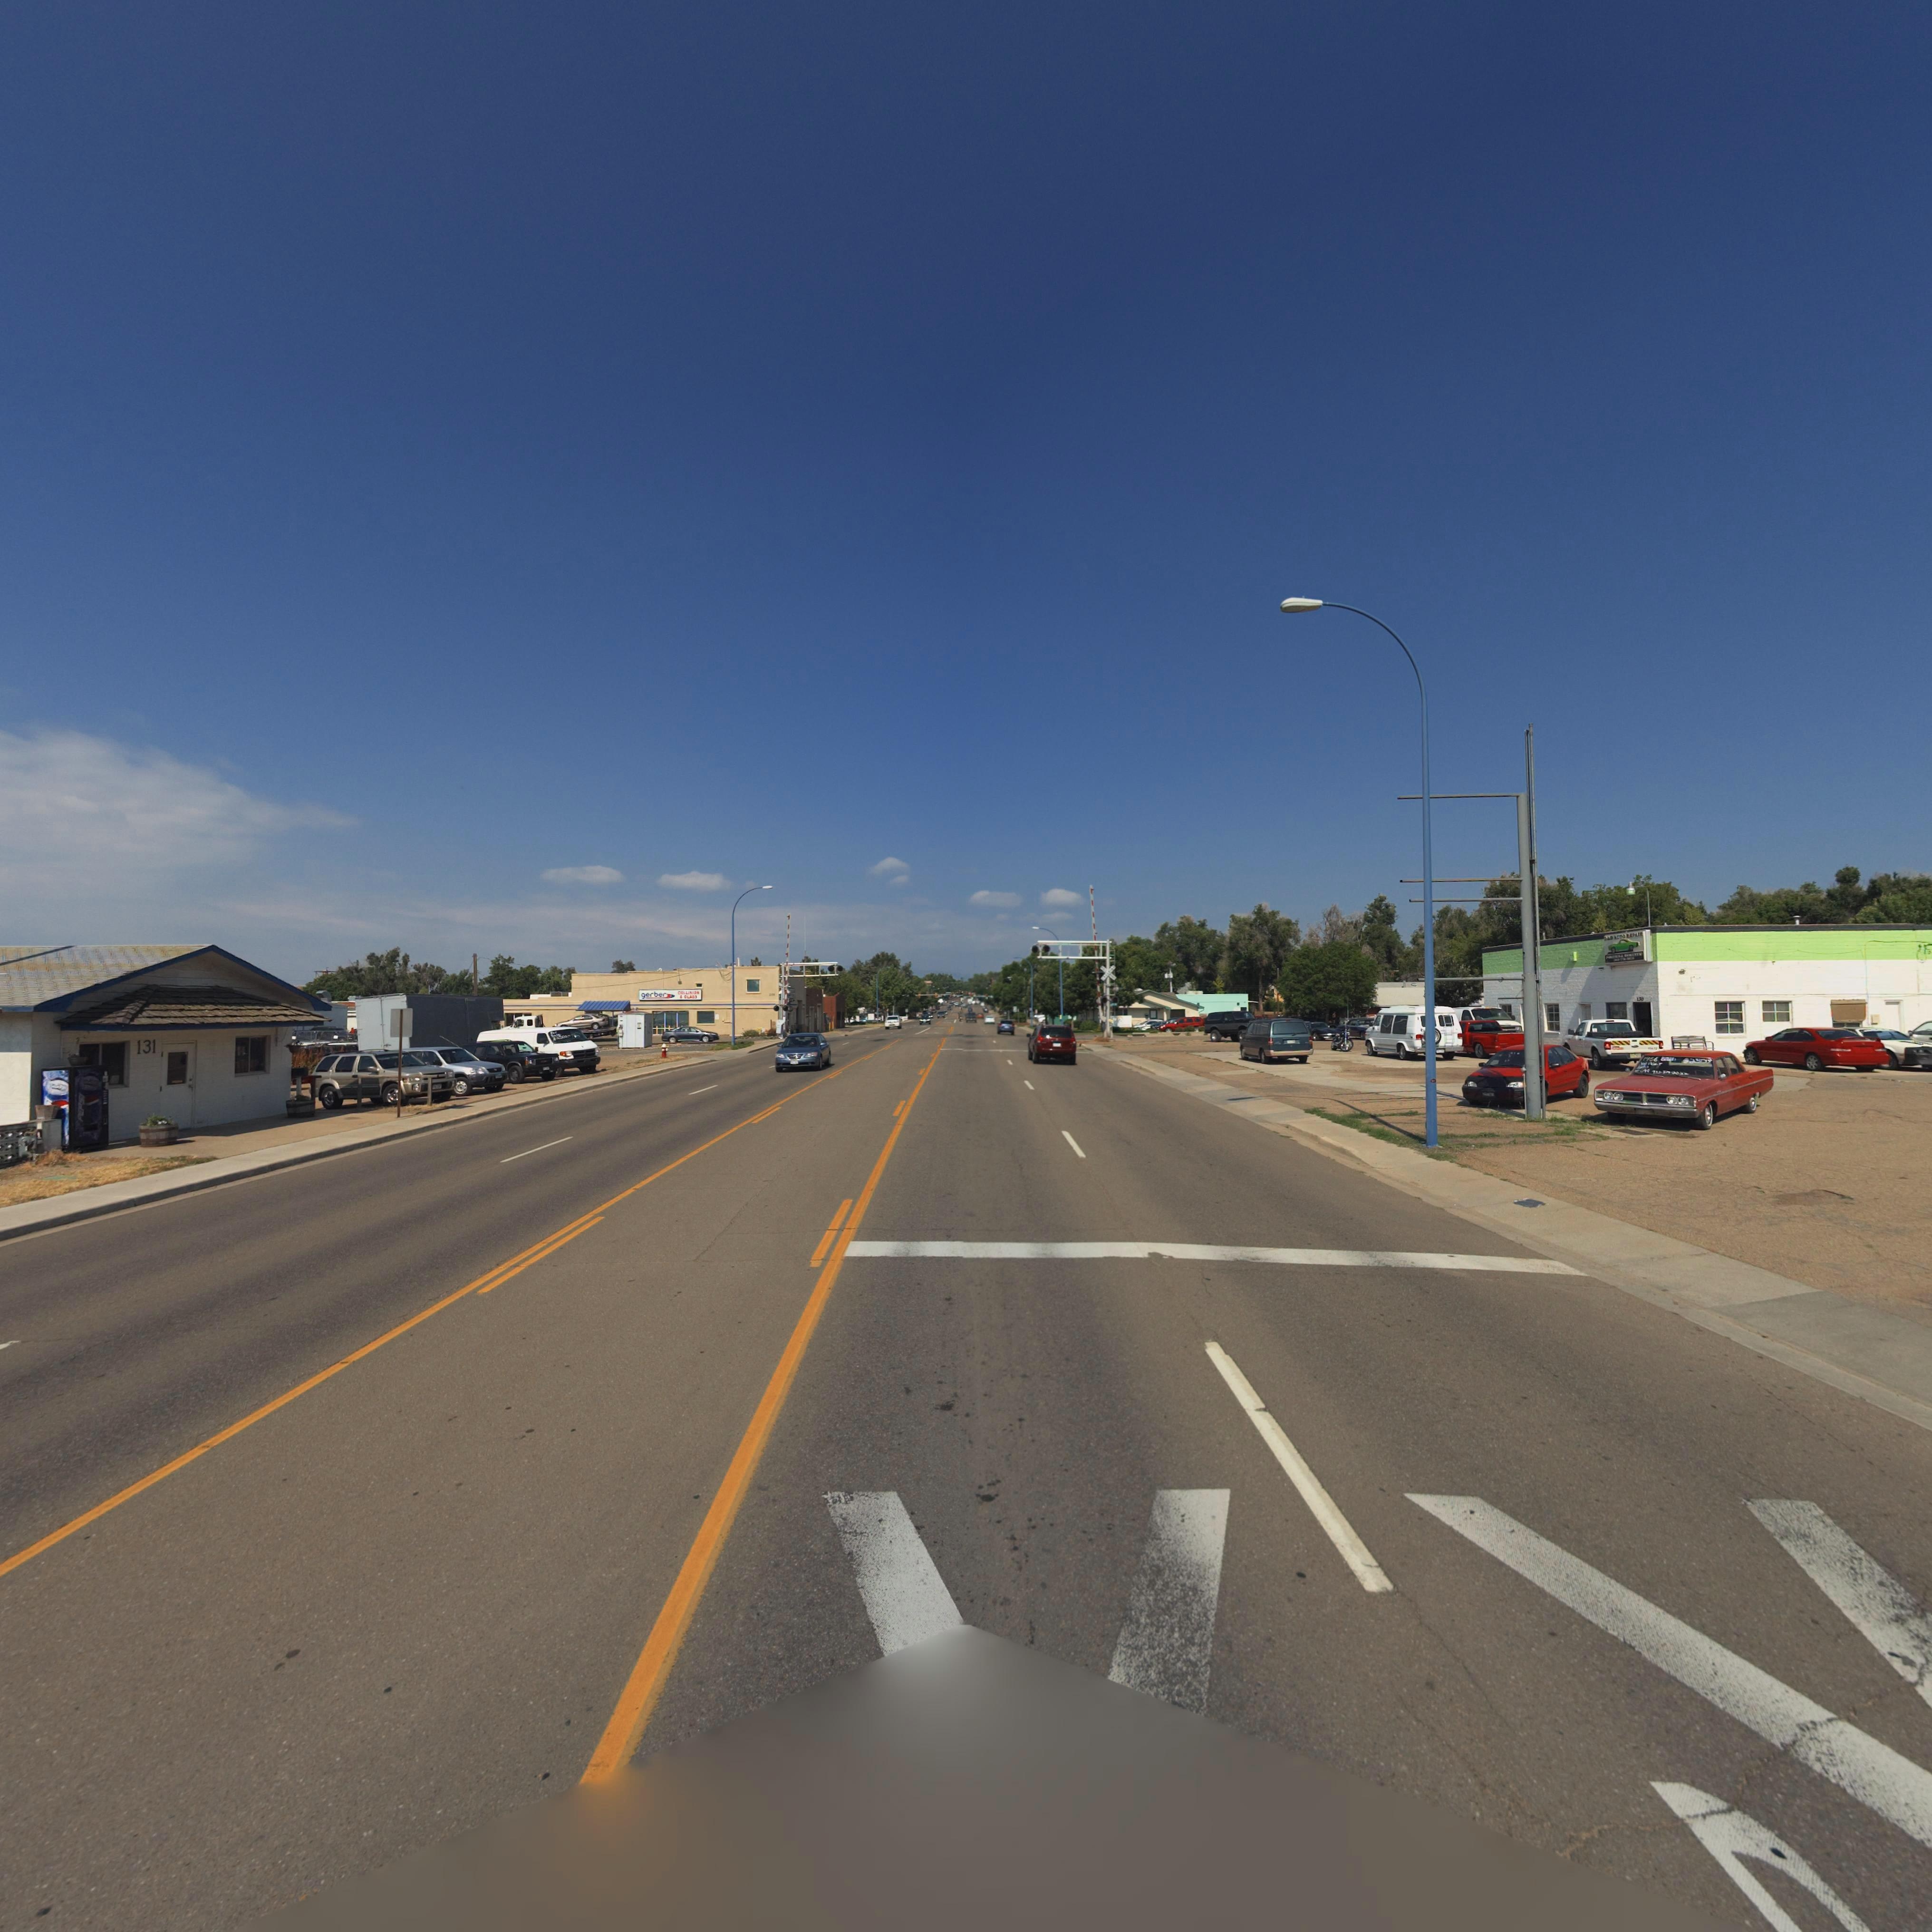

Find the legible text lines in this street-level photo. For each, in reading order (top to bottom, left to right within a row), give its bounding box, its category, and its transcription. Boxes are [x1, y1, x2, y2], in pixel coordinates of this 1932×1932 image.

[640, 990, 667, 999] BusinessName: gerber
[677, 990, 700, 995] BusinessName: COLLISION
[679, 995, 697, 999] BusinessName: * GLASS
[769, 993, 775, 996] StreetNumber: 25*
[1635, 996, 1644, 1001] StreetNumber: 1**
[136, 1038, 156, 1054] StreetNumber: 131